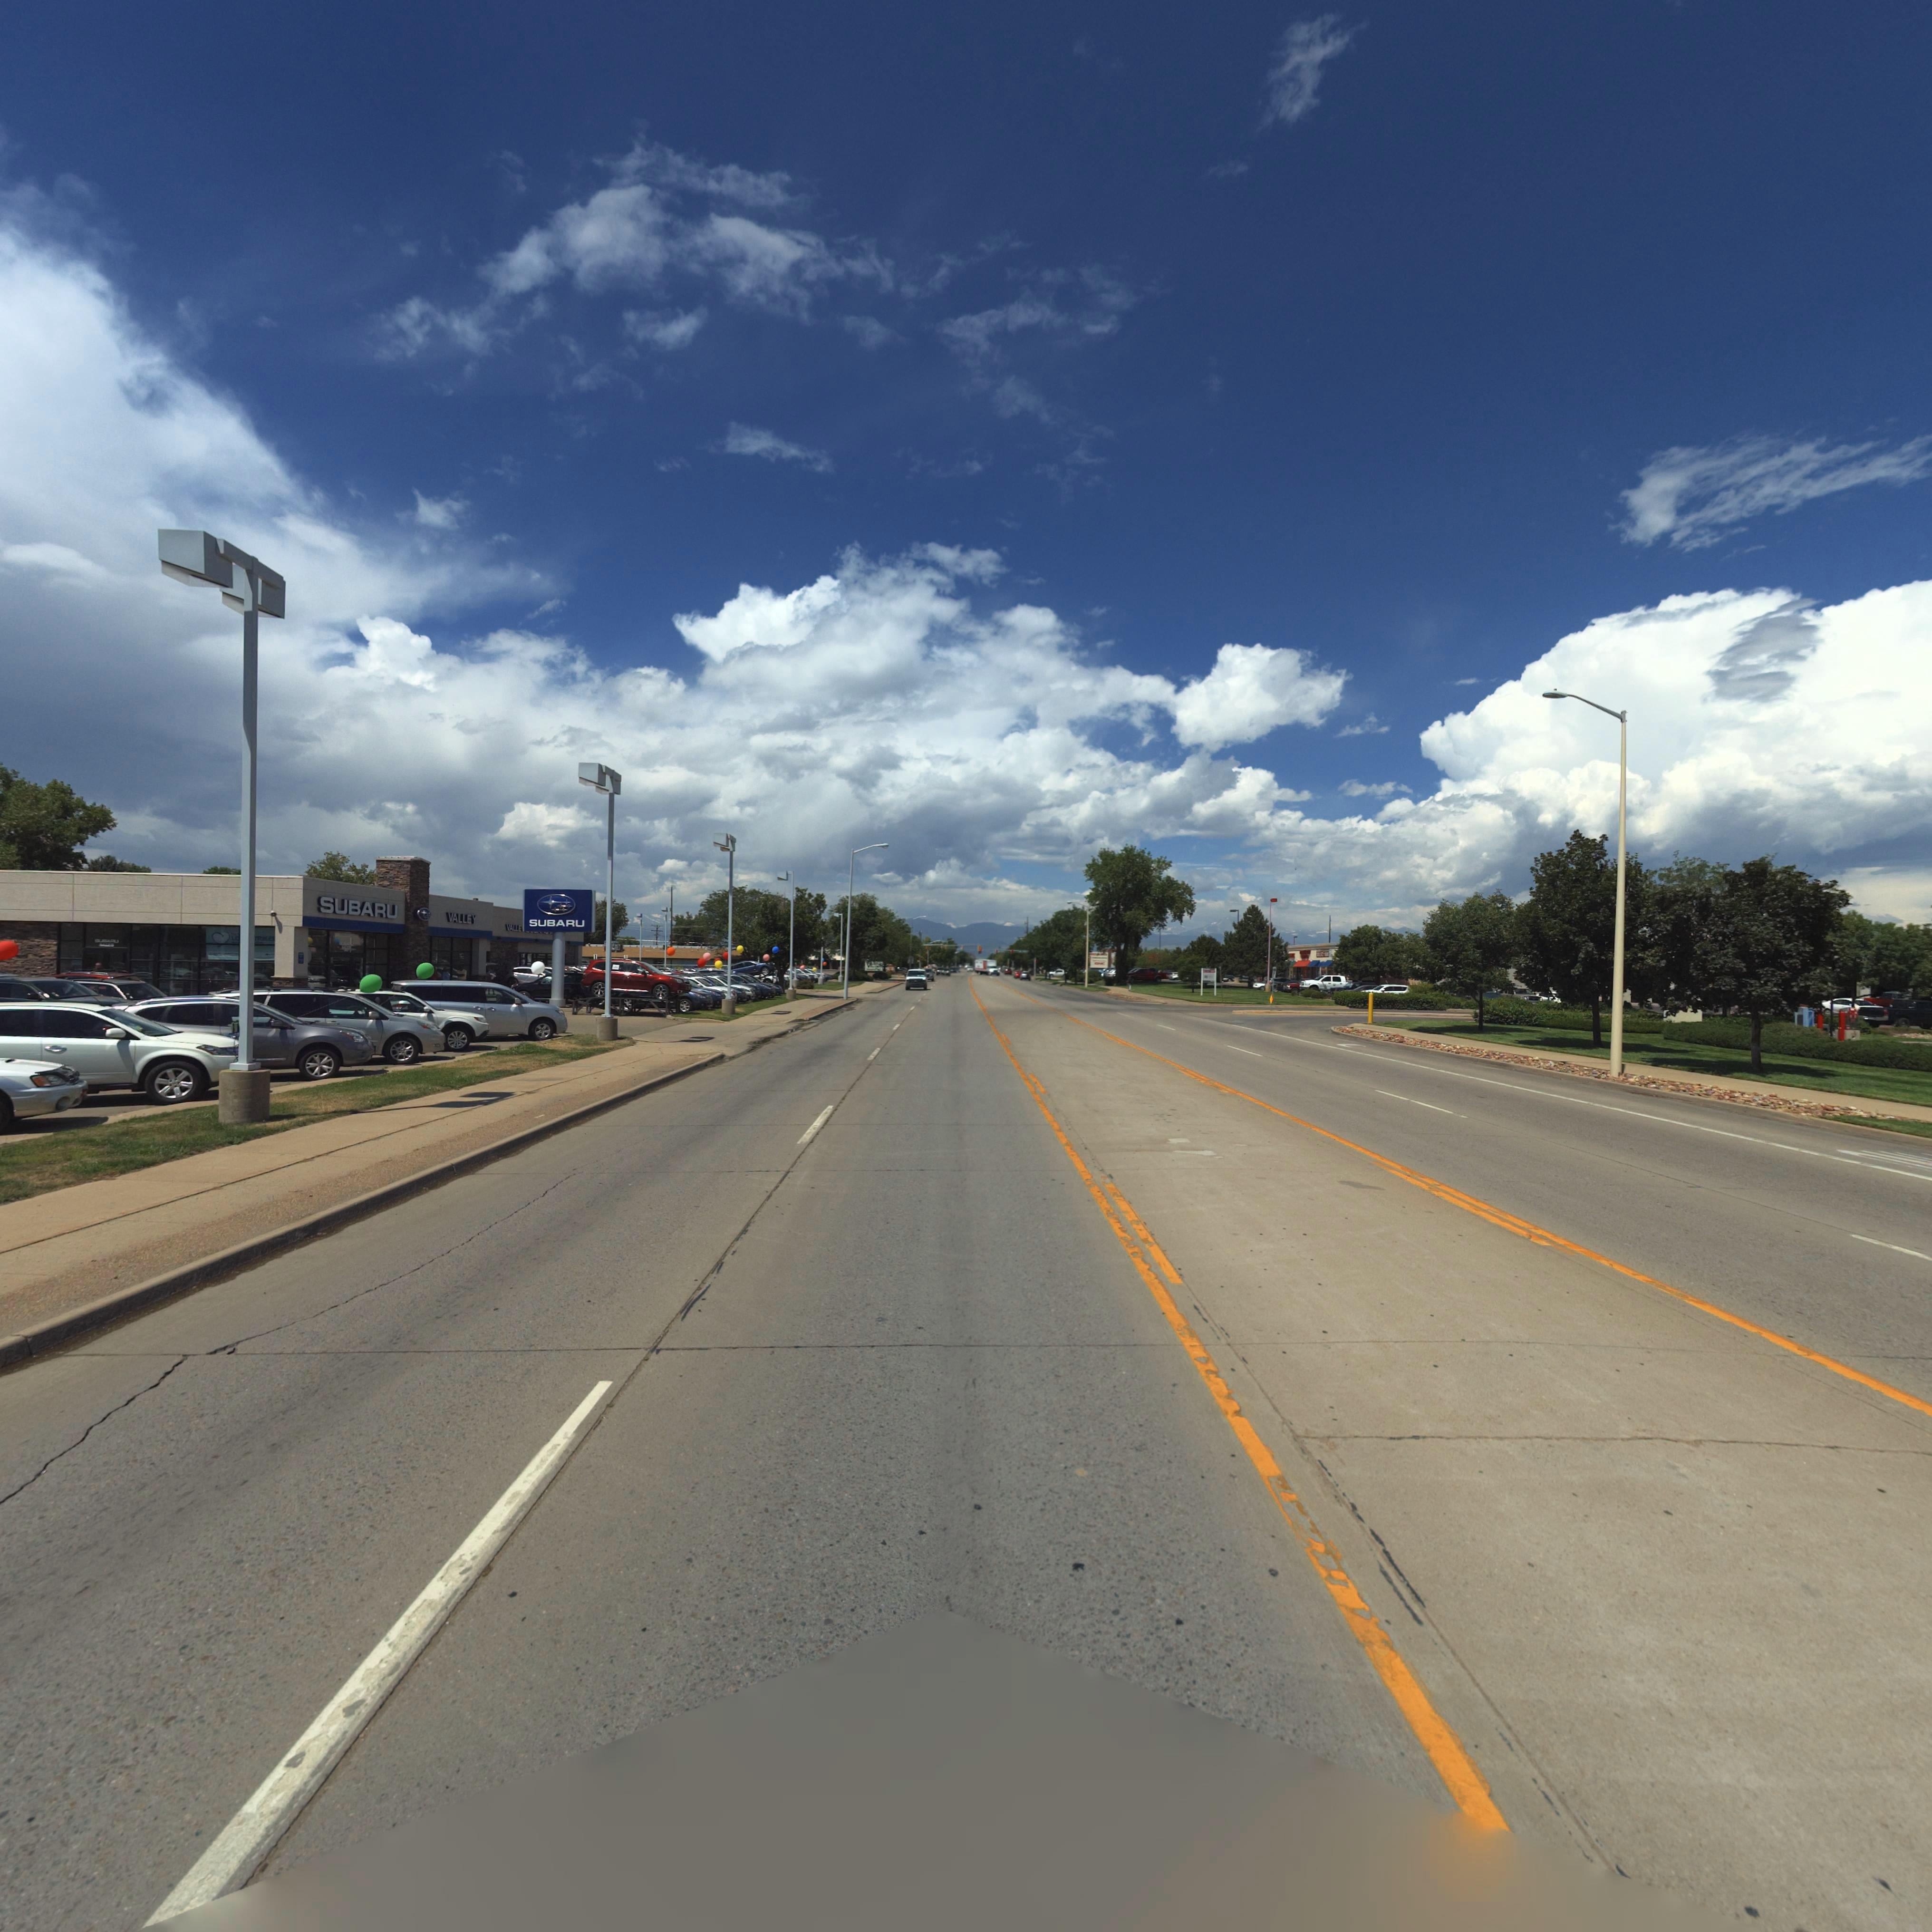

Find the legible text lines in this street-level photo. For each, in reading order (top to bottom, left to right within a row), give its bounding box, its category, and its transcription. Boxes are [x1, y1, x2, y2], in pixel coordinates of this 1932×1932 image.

[320, 896, 398, 919] BusinessName: SUBARU
[448, 912, 477, 925] BusinessName: VALLEY
[529, 919, 585, 927] BusinessName: SUBARU
[506, 923, 522, 932] BusinessName: VALLE
[94, 938, 119, 943] BusinessName: *UBARU
[866, 961, 872, 968] BusinessName: V
[1094, 961, 1105, 965] BusinessName: GNC